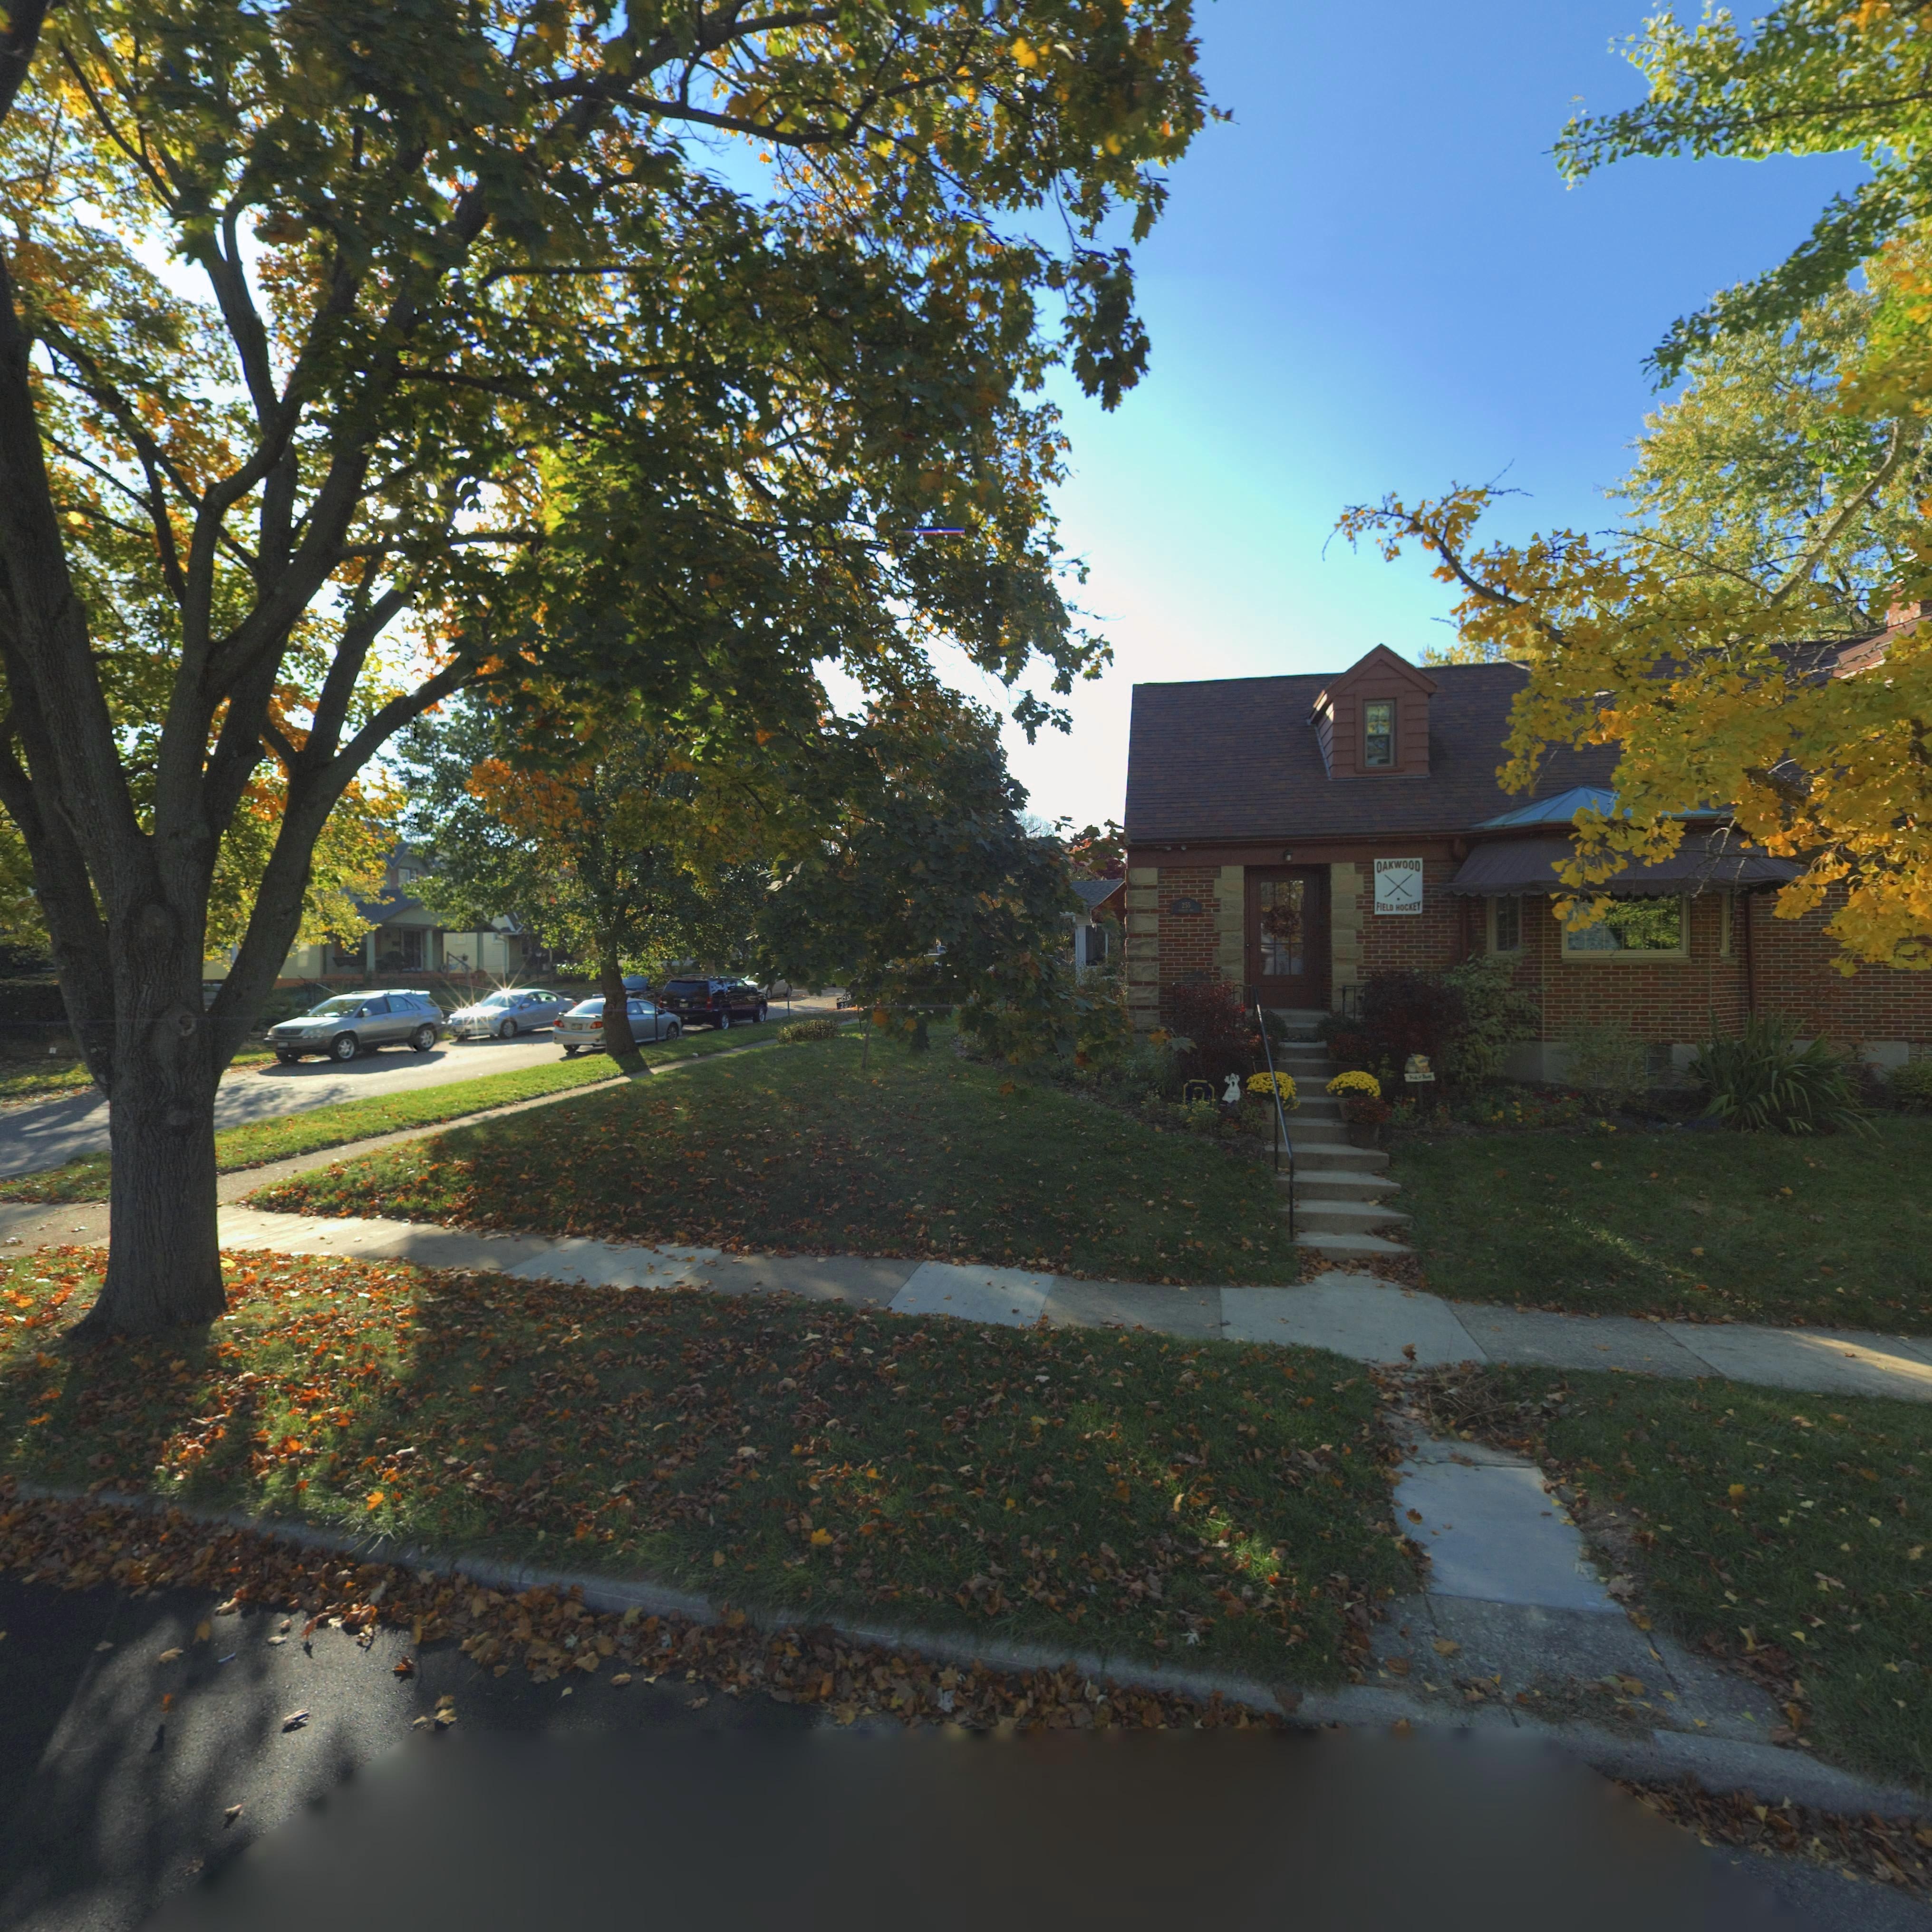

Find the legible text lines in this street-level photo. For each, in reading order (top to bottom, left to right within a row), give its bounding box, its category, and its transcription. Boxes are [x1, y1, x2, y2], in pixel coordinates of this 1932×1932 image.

[1180, 901, 1192, 909] StreetNumber: 255
[839, 1002, 845, 1009] StreetNumber: 2